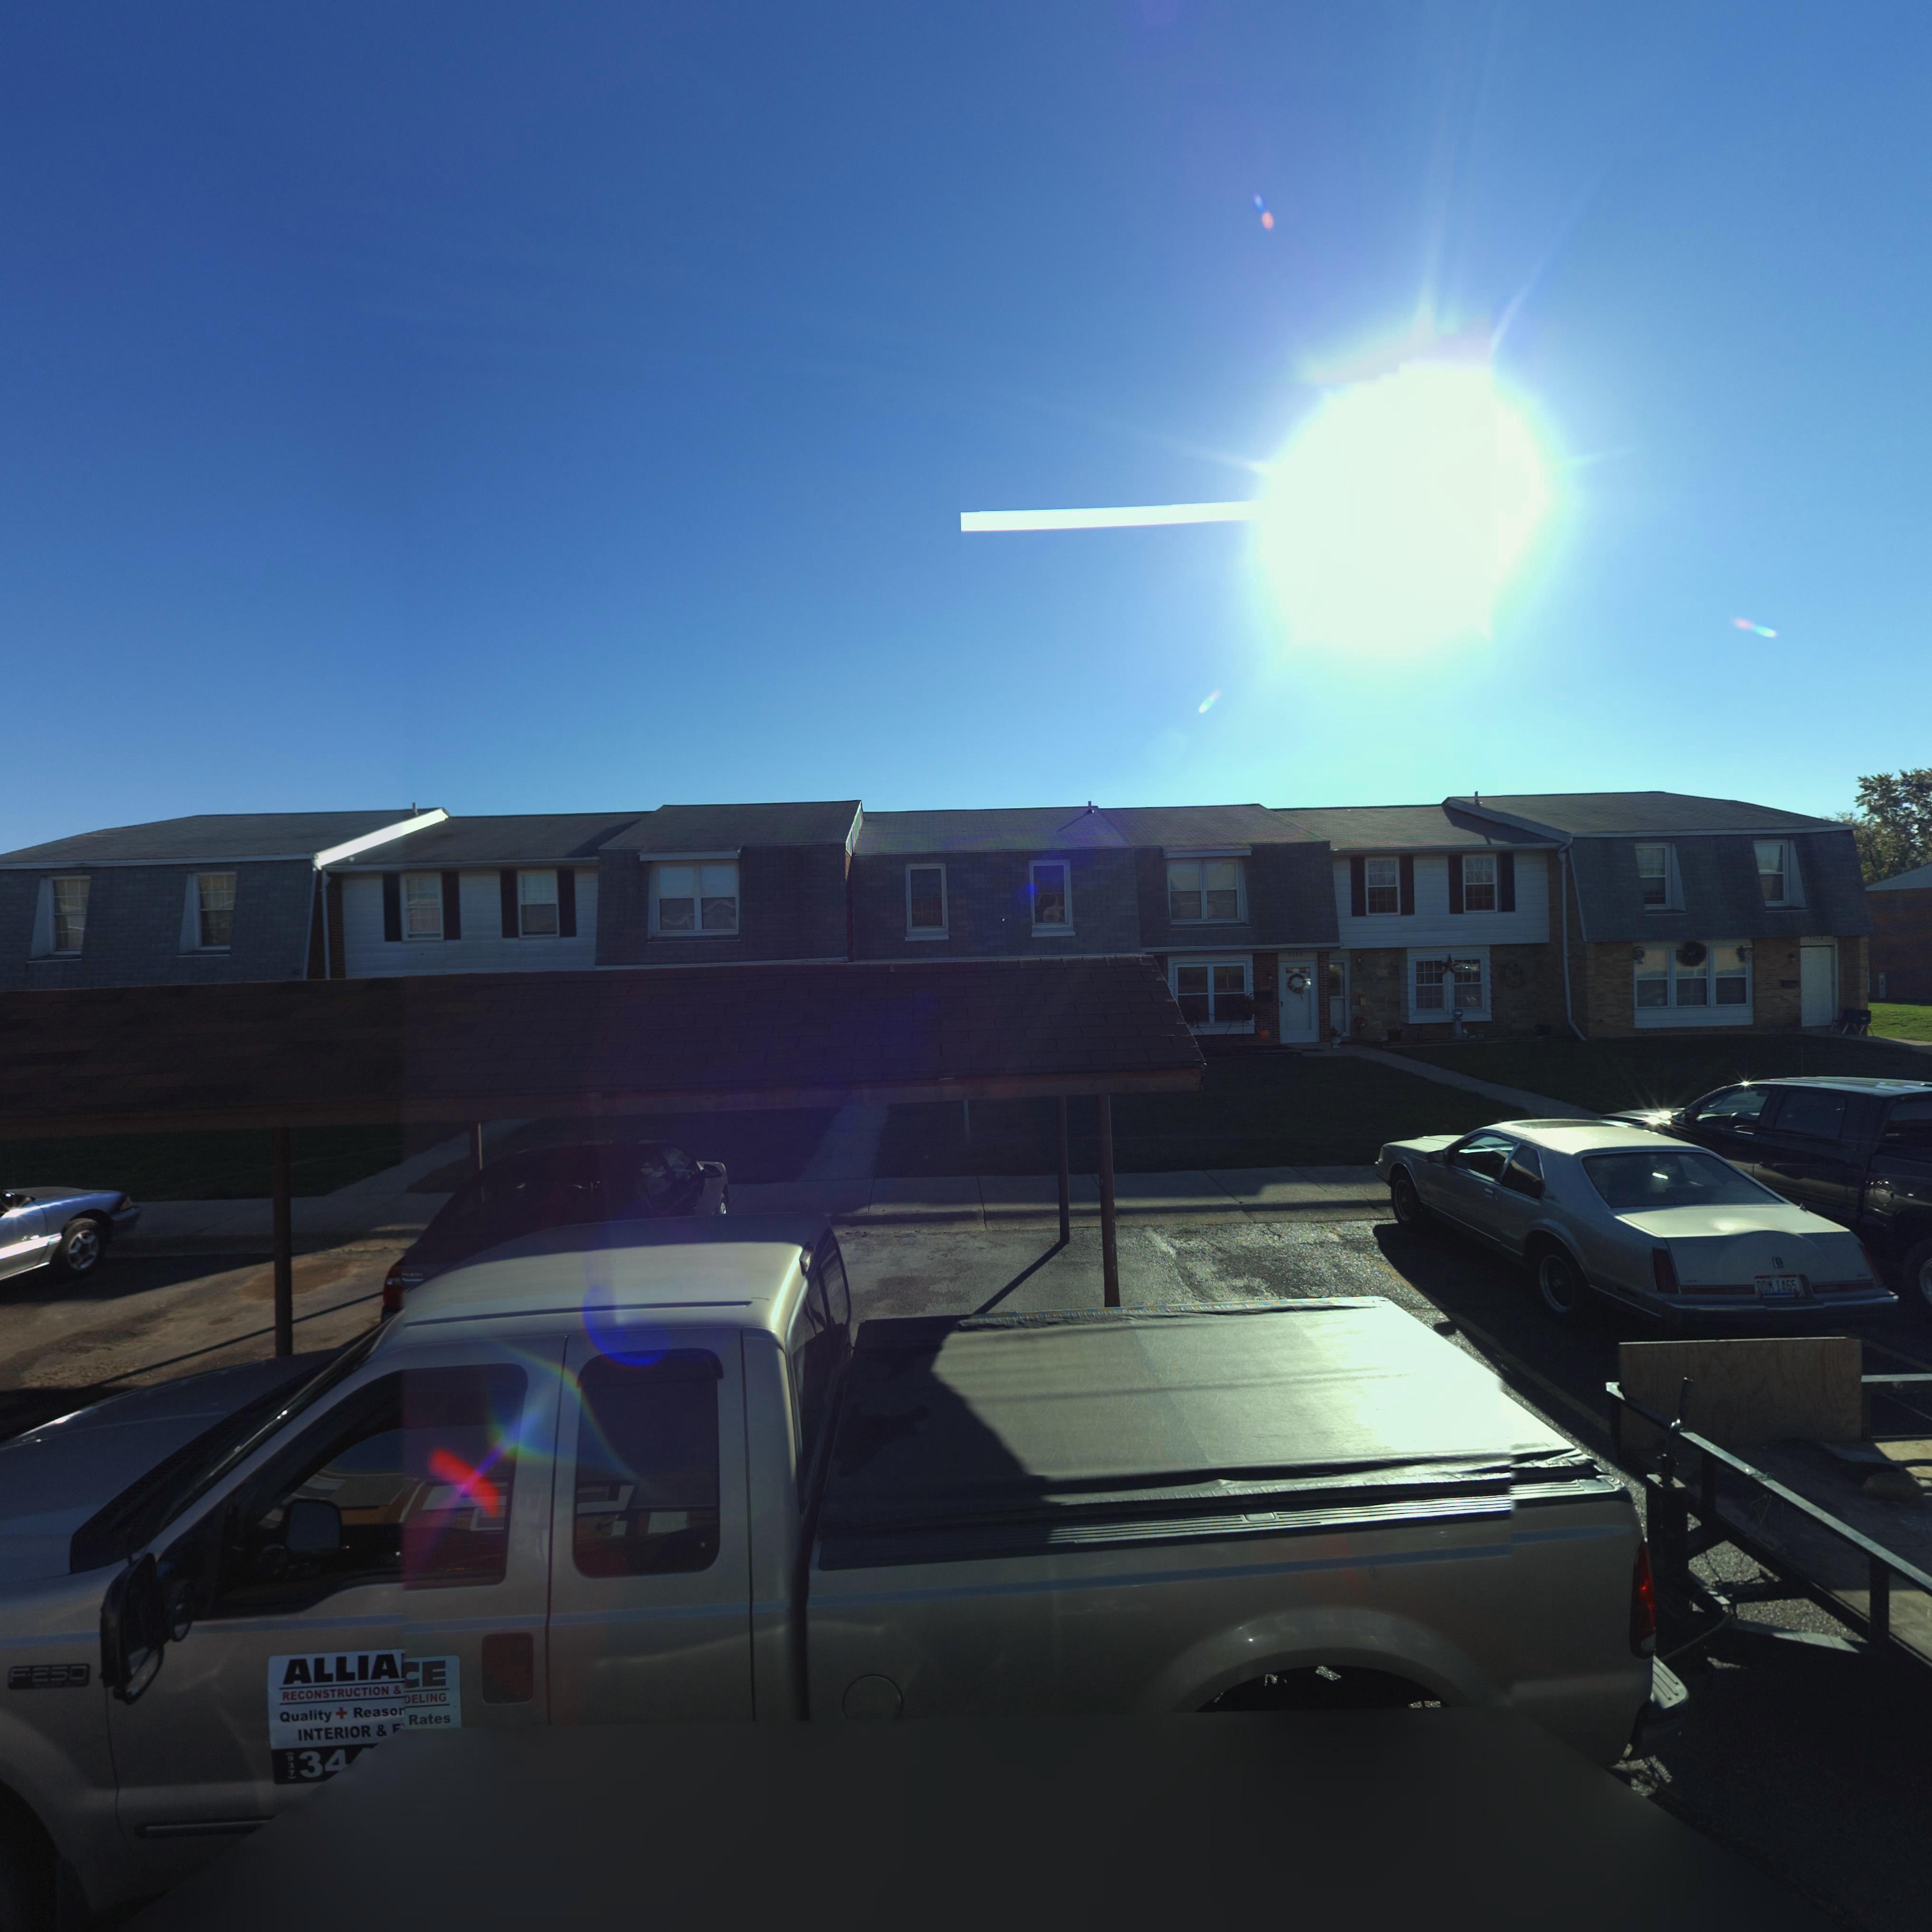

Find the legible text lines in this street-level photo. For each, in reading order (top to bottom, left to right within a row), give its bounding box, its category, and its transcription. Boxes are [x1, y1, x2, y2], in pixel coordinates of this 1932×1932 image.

[1807, 936, 1824, 941] StreetNumber: 7516
[1287, 952, 1304, 957] StreetNumber: 7520